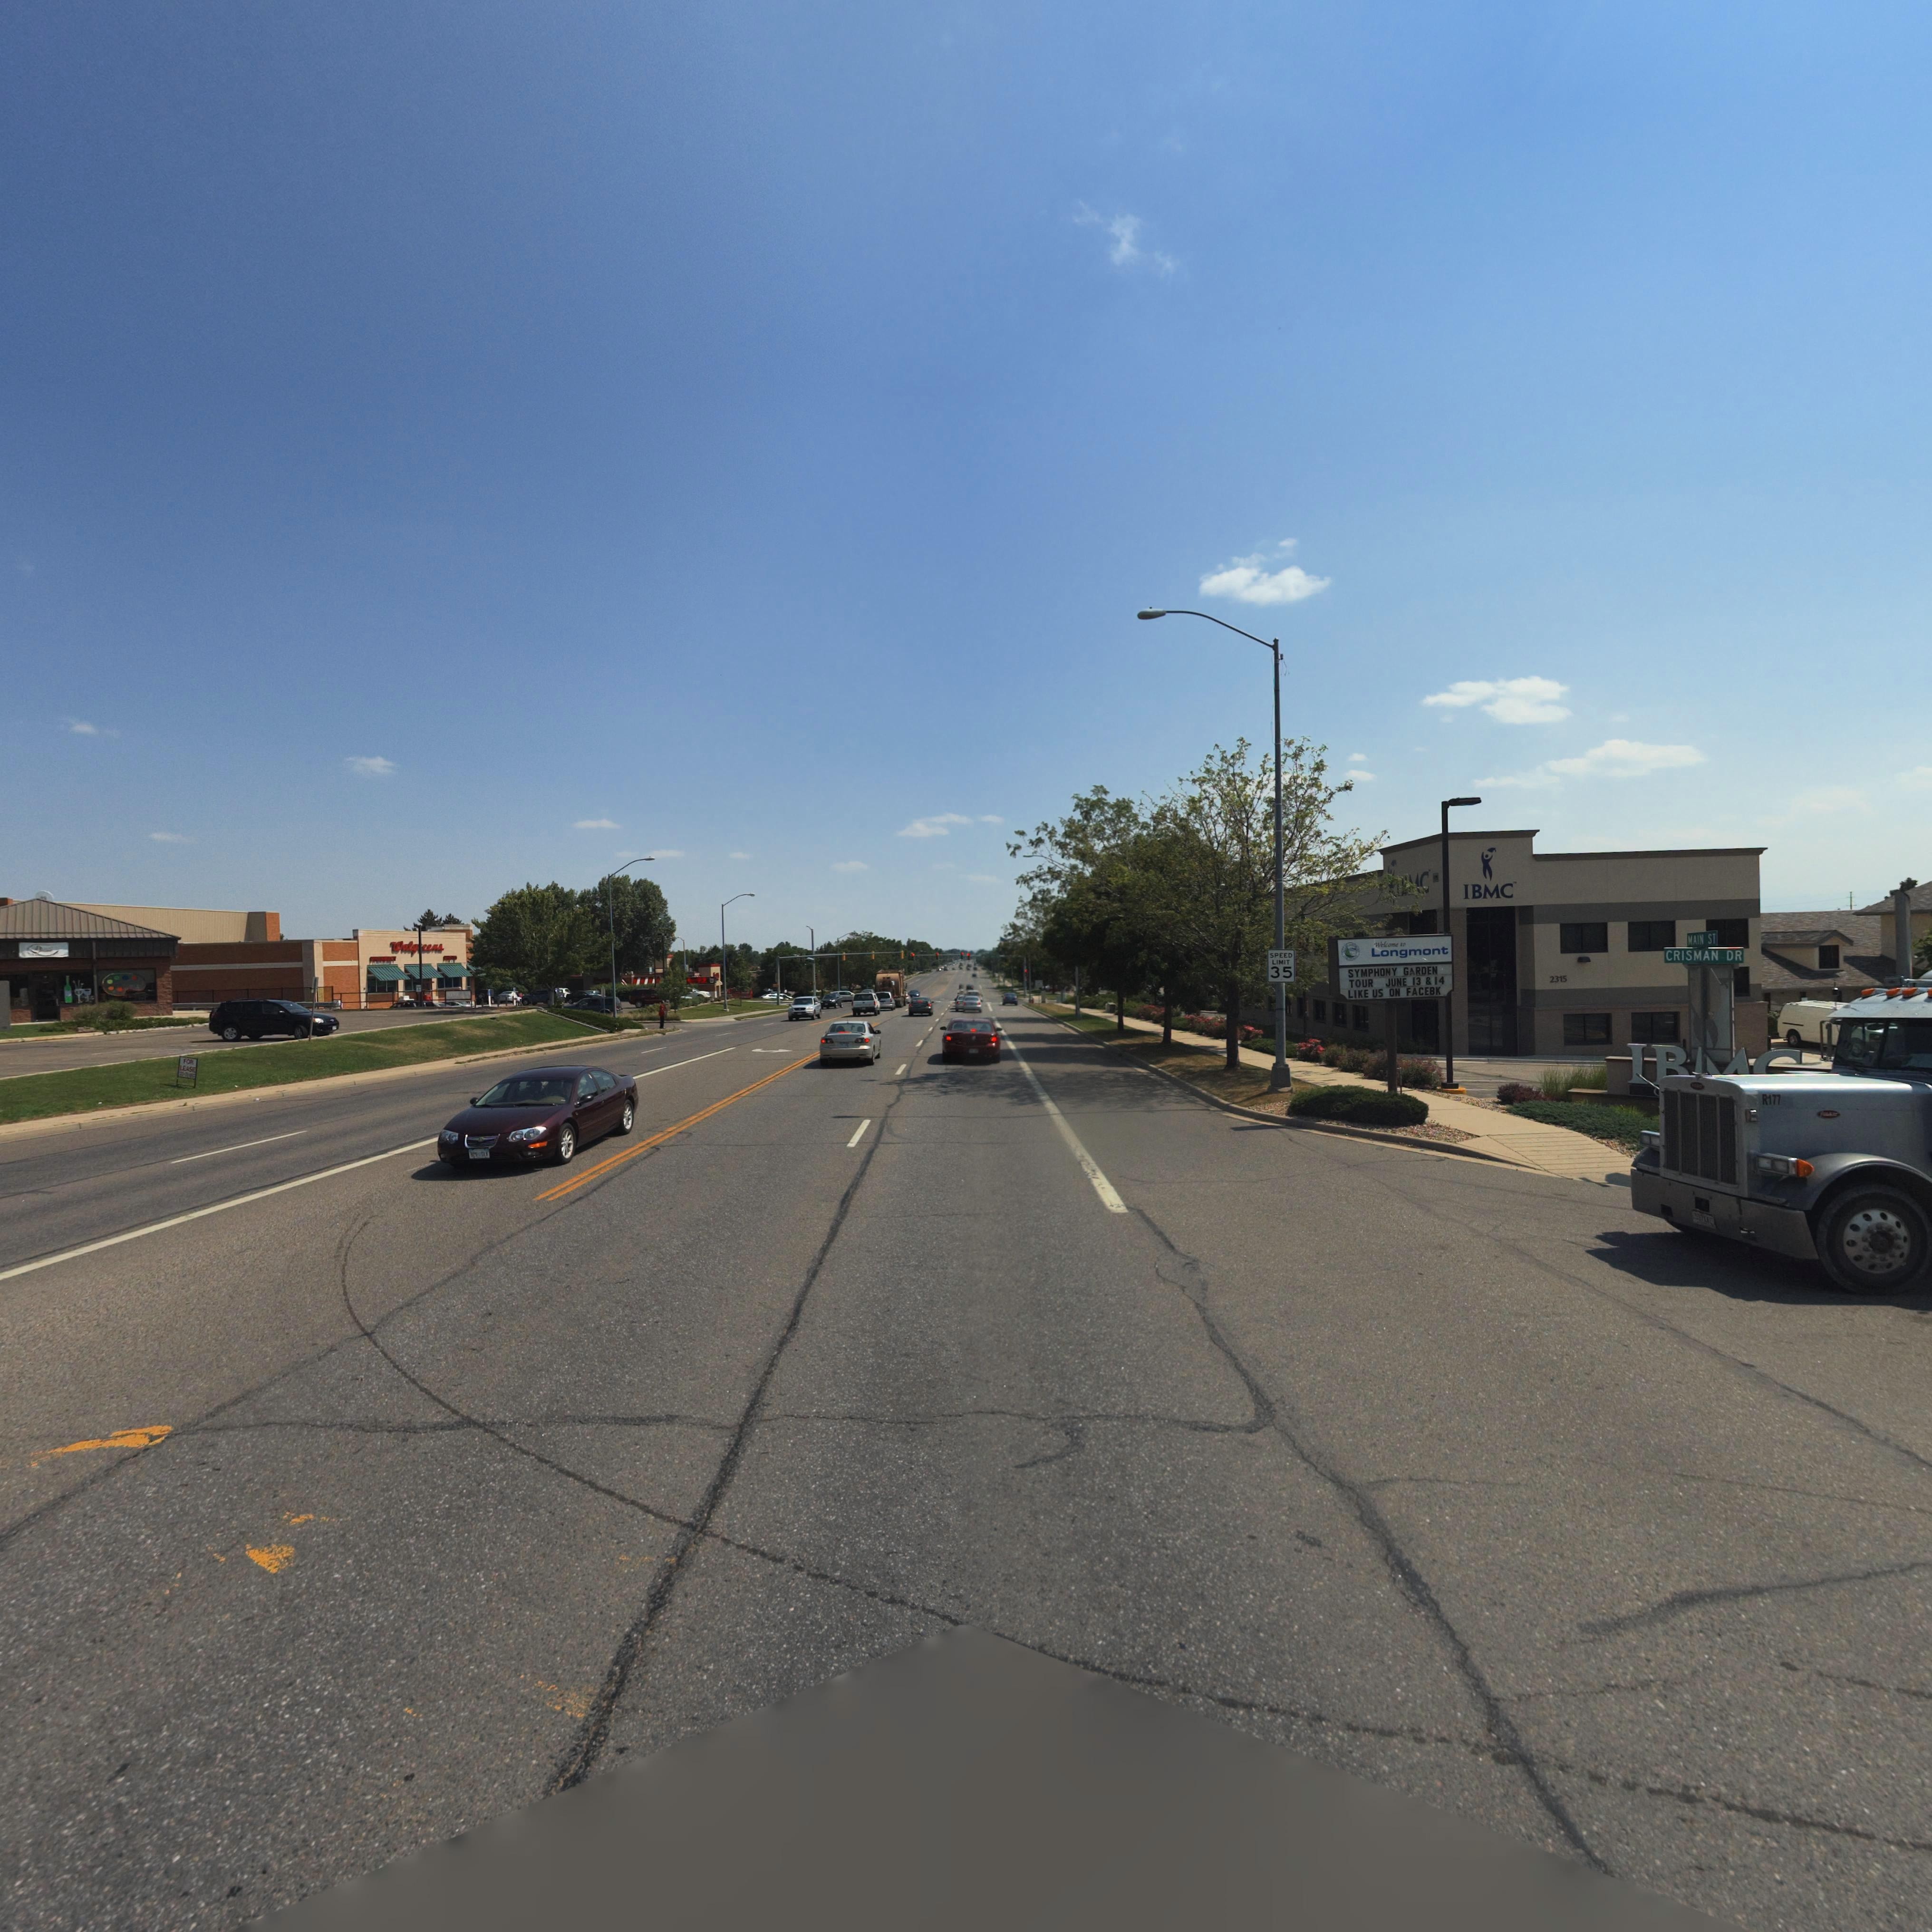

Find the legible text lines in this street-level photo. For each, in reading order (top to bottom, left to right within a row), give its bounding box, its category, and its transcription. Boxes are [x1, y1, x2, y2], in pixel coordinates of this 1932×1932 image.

[1463, 882, 1513, 899] BusinessName: IBMC
[1688, 932, 1716, 946] StreetName: MAIN ST
[389, 940, 445, 955] BusinessName: Walg*eens
[1665, 949, 1742, 961] StreetName: CRISMAN DR
[1549, 975, 1567, 983] StreetNumber: 2315
[1623, 1043, 1802, 1097] BusinessName: I***